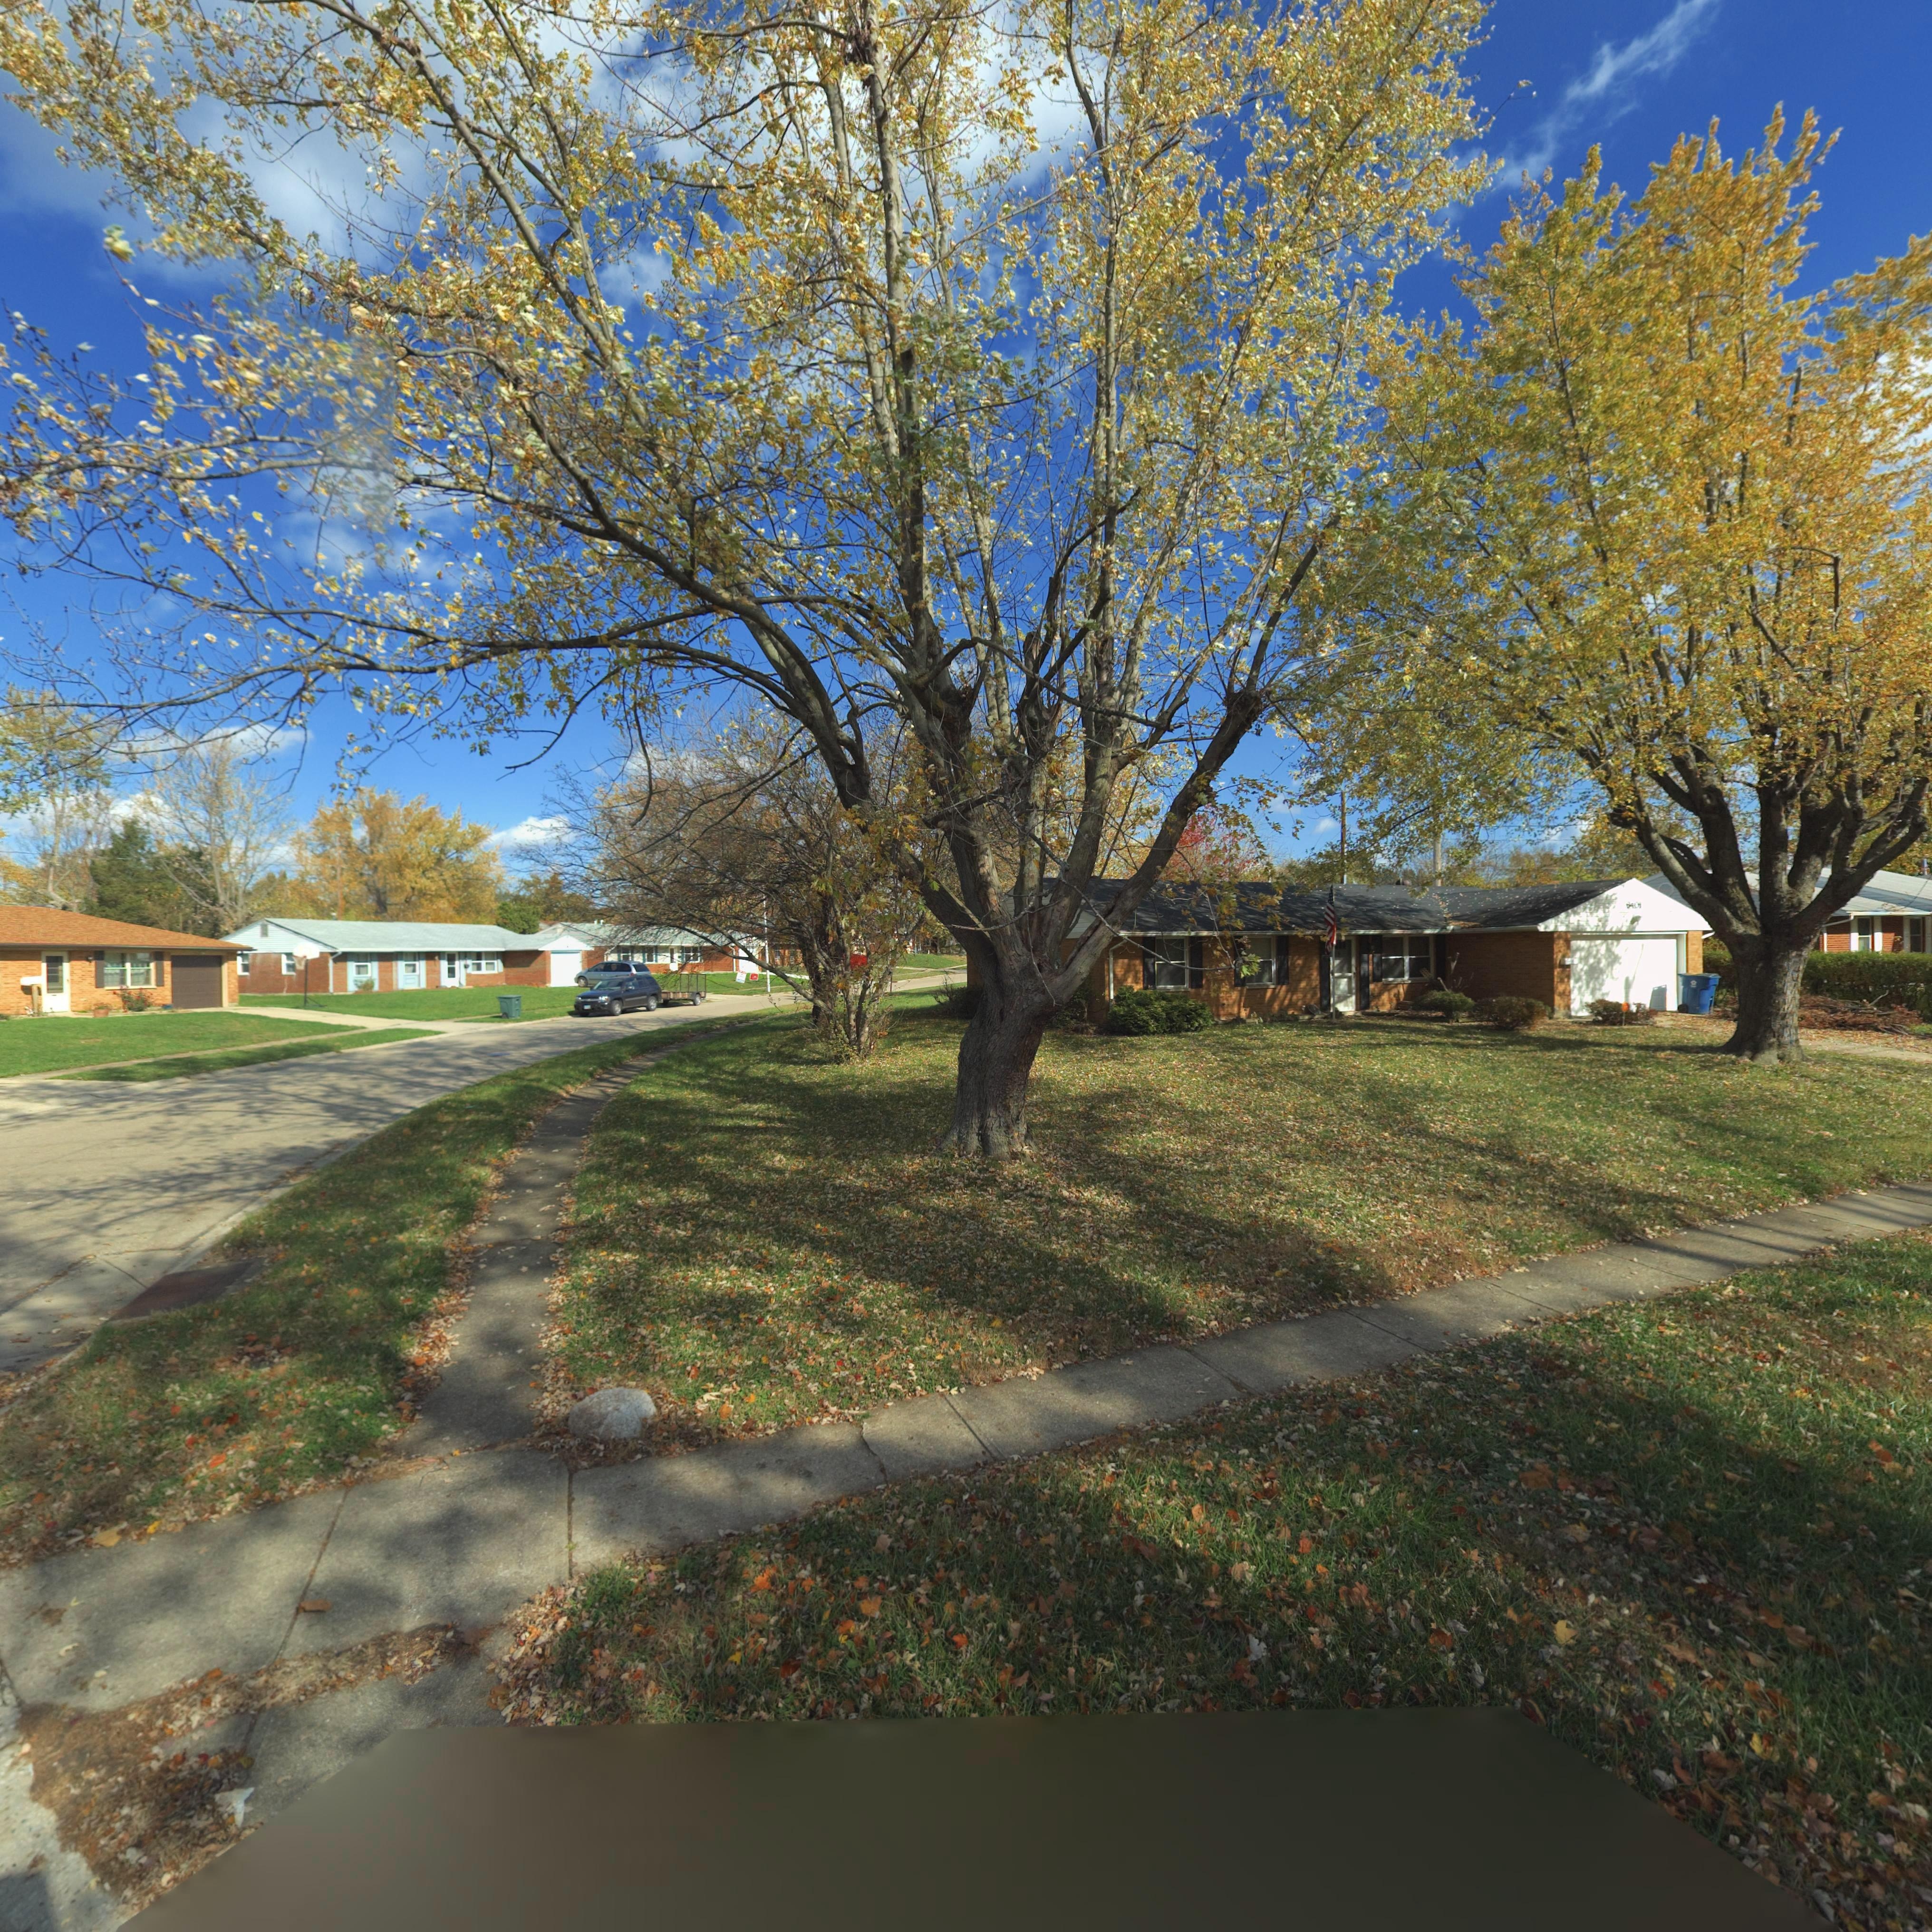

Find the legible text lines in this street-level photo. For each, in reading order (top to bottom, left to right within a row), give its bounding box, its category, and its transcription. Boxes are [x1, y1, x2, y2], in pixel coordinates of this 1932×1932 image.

[1626, 901, 1642, 909] StreetNumber: 6401